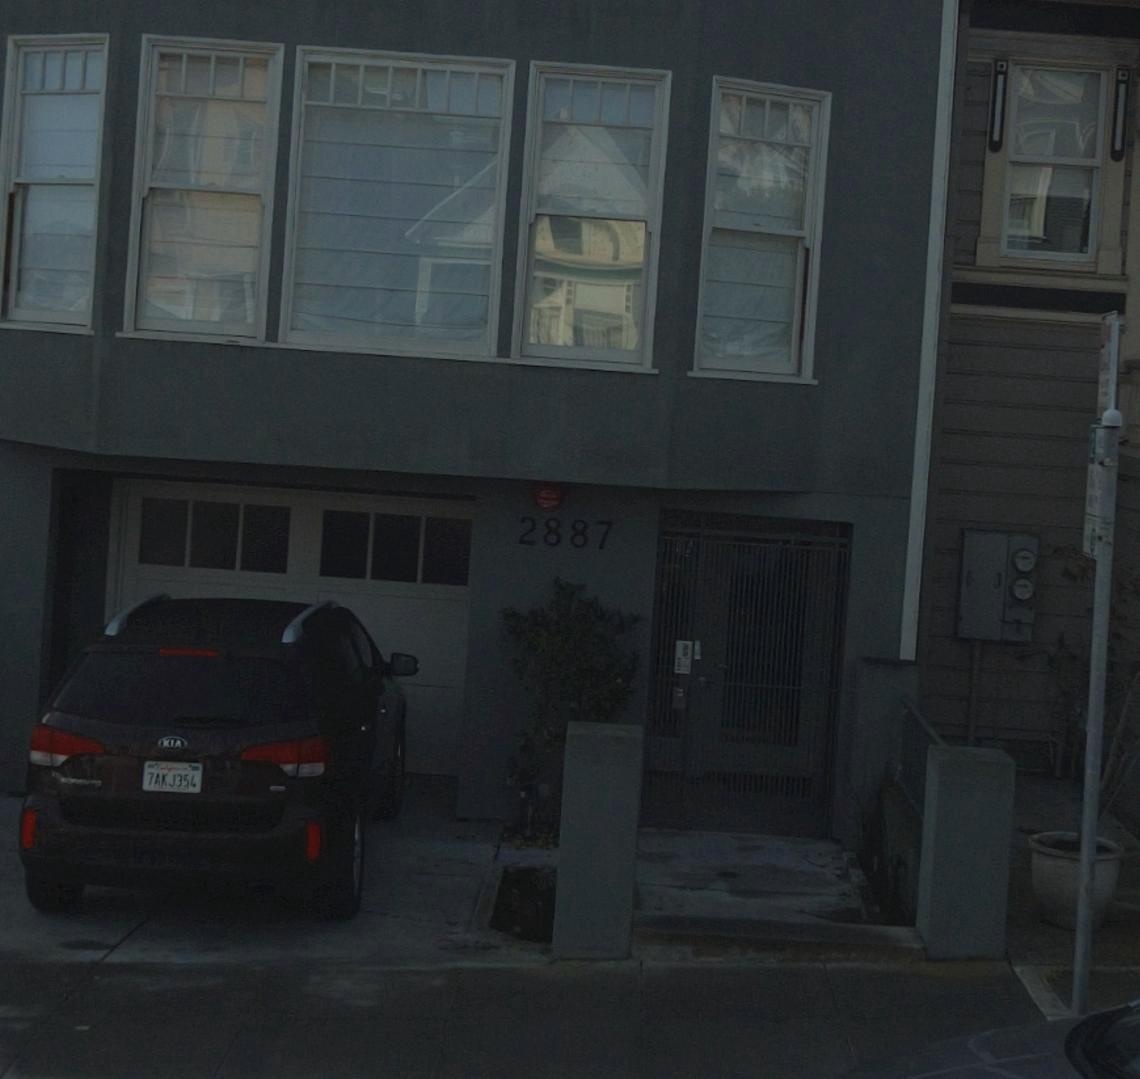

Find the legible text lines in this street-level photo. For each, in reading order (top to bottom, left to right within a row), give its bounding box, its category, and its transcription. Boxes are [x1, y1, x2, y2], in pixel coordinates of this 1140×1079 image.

[513, 511, 620, 554] StreetNumber: 2887
[161, 736, 184, 750] None: KIA
[144, 768, 199, 791] None: 7AK J354